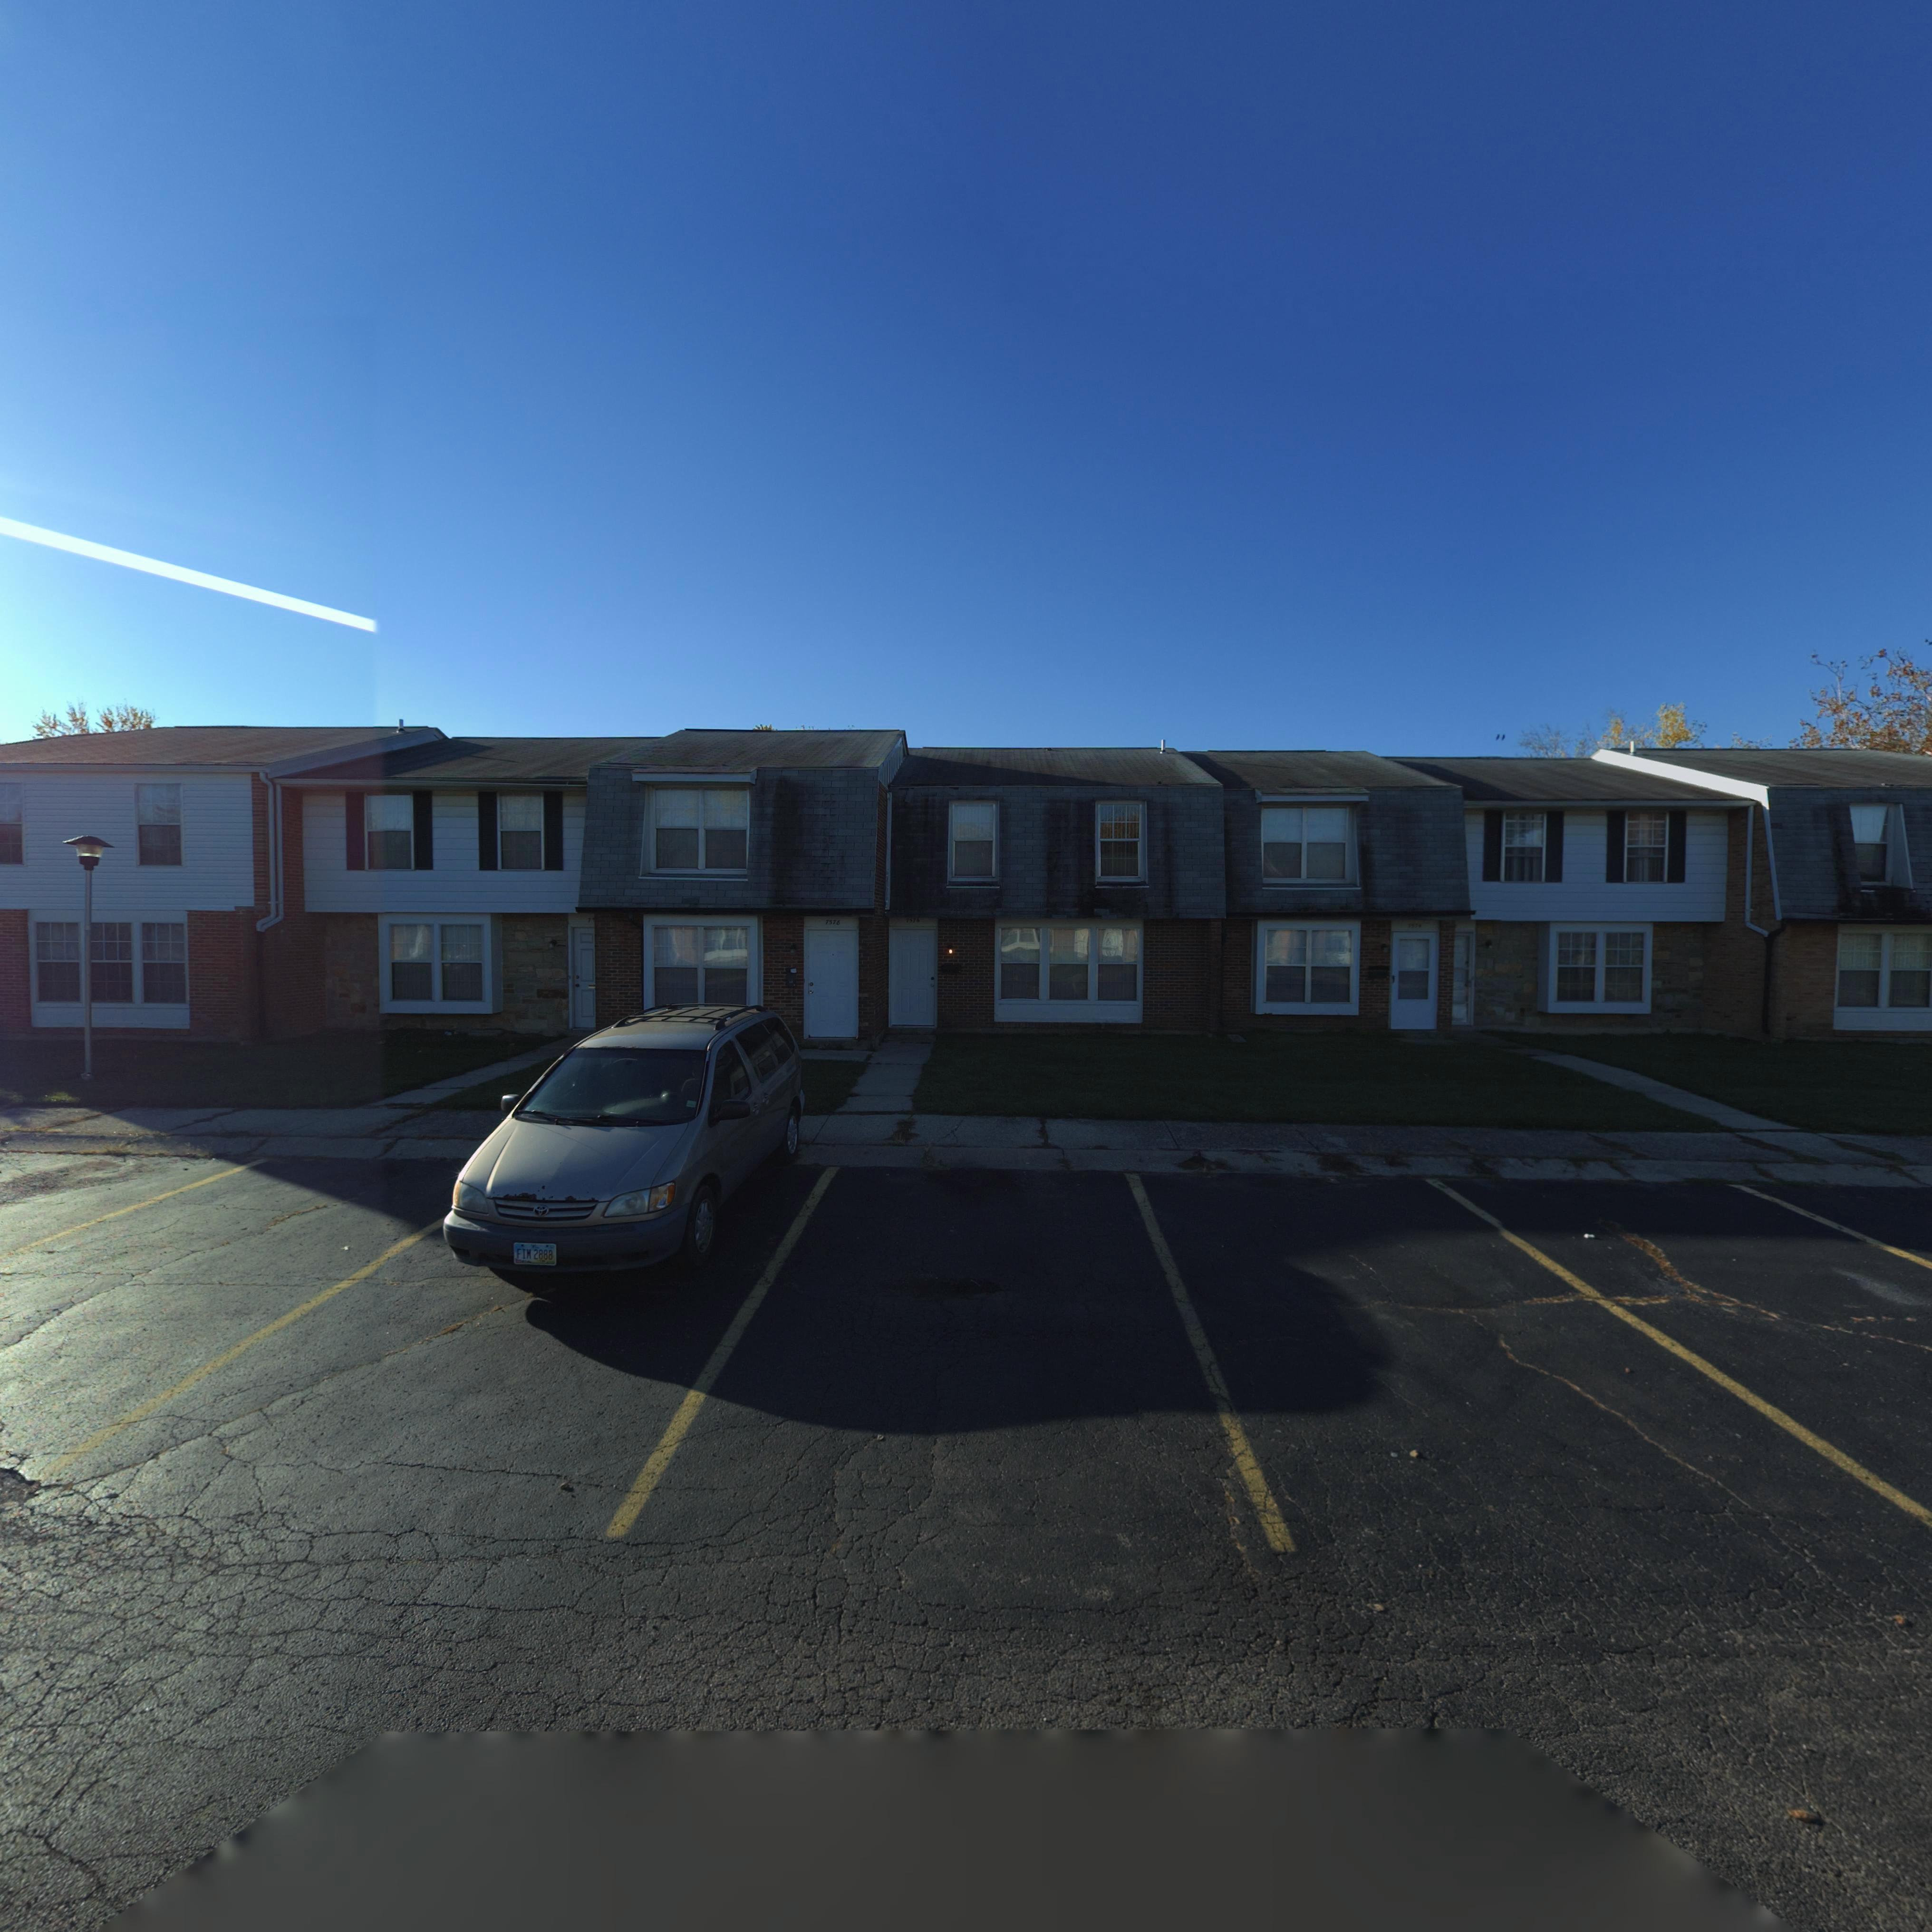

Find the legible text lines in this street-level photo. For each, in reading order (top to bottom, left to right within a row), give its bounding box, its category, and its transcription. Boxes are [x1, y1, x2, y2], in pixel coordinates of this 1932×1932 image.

[587, 917, 592, 924] StreetNumber: 7
[824, 918, 841, 926] StreetNumber: 7578
[905, 917, 921, 924] StreetNumber: 7576